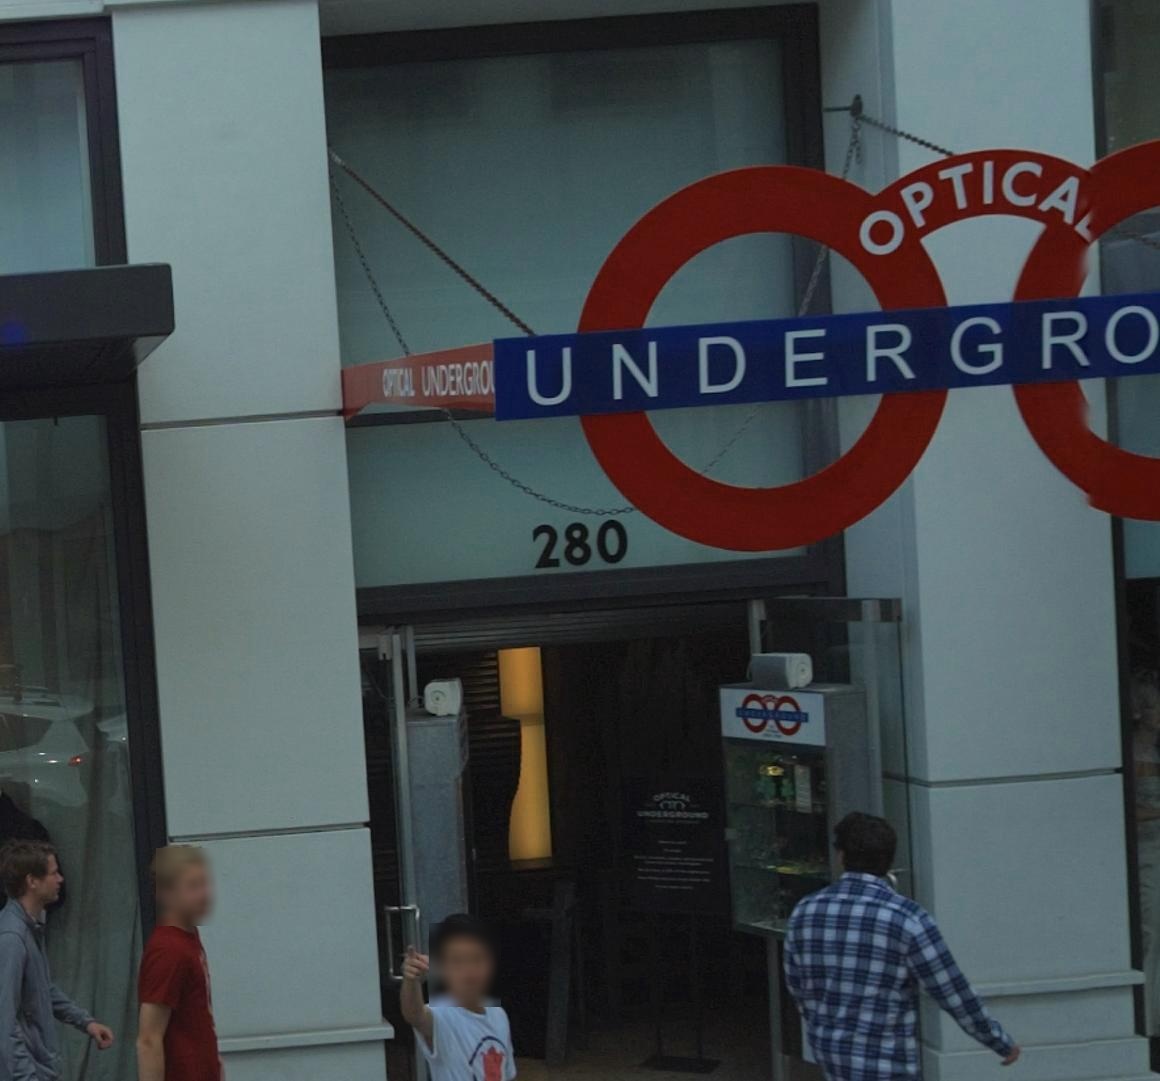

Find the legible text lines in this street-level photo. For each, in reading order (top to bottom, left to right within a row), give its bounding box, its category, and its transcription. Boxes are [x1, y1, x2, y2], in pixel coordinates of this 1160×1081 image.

[847, 150, 1088, 265] BusinessName: OPTICA
[379, 355, 495, 400] BusinessName: OPTICAL UNDERGRO
[518, 297, 1159, 414] BusinessName: UNDERGRO
[527, 514, 633, 573] StreetNumber: 280
[646, 789, 693, 809] None: OPTICAL
[635, 810, 712, 821] None: UNDERGROUND